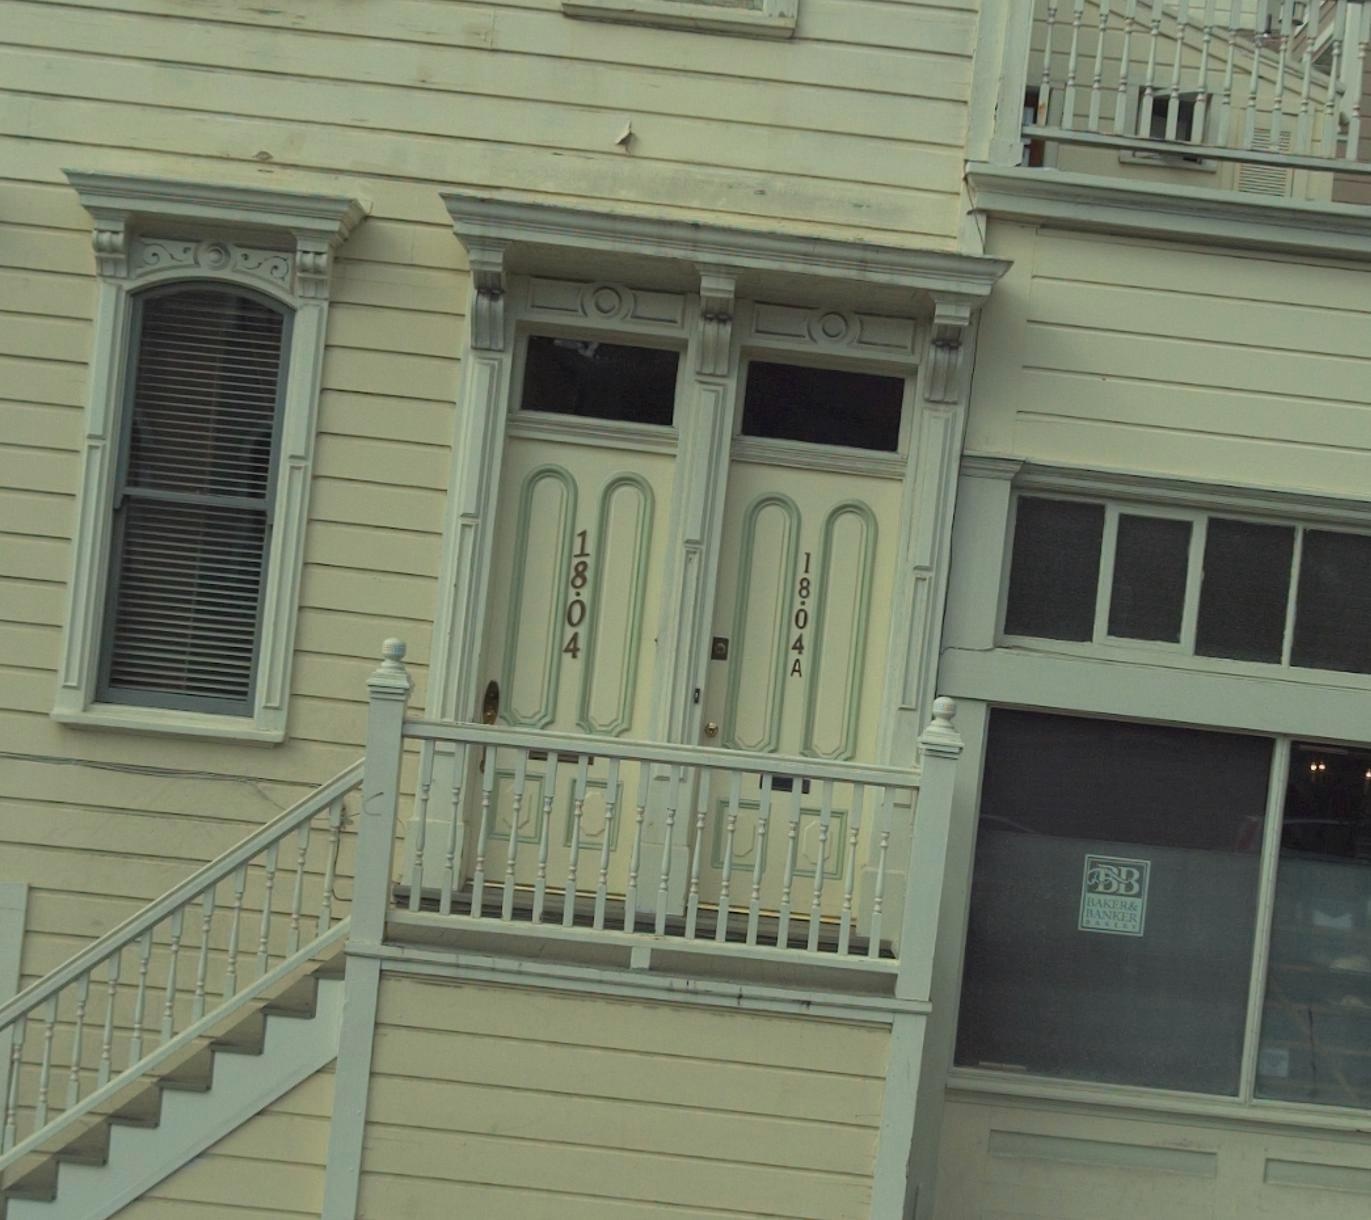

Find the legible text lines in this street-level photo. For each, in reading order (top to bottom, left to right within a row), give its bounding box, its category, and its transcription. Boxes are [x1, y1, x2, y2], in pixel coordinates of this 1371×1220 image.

[559, 525, 596, 663] StreetNumber: 1804
[784, 549, 817, 681] StreetNumber: 1804A
[1084, 893, 1130, 913] None: BAKER
[1084, 905, 1140, 925] None: BANKER